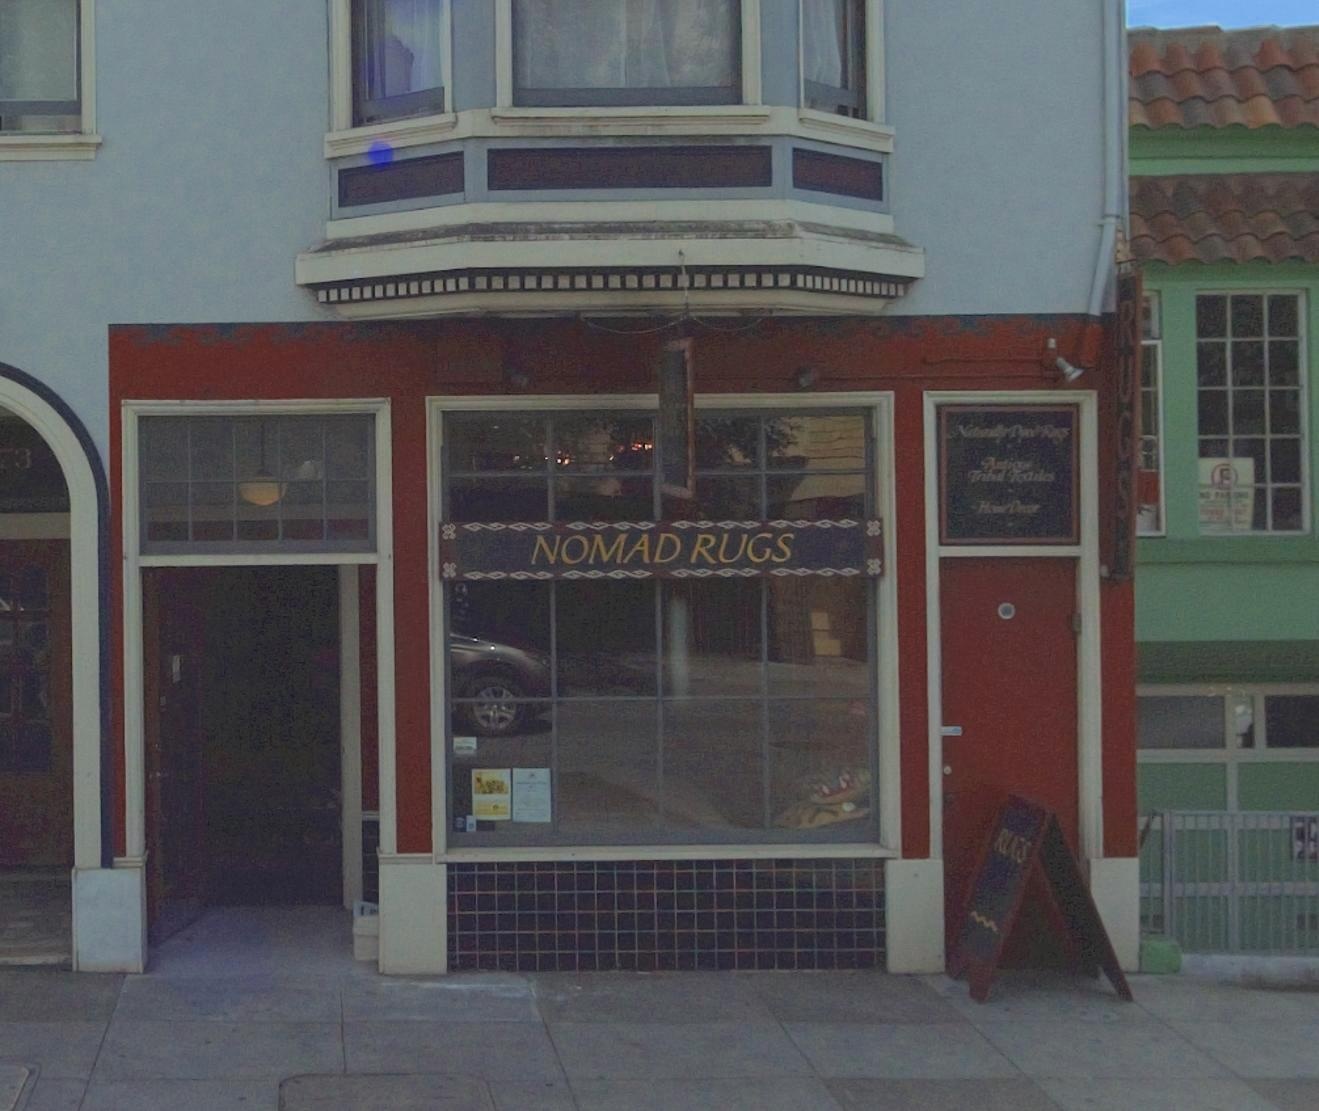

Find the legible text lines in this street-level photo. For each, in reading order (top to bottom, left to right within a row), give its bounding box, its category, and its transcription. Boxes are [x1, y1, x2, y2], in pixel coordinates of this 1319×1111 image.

[1116, 299, 1136, 520] None: RUGS
[944, 423, 1073, 443] None: N*t***lly T****d R*gs
[13, 443, 32, 468] StreetNumber: 3
[969, 470, 1007, 483] None: Tribal
[980, 456, 1035, 472] None: Anti****
[973, 499, 1042, 516] None: Home Decor
[527, 531, 798, 566] BusinessName: NOMAD RUGS
[991, 826, 1035, 866] None: RU*S